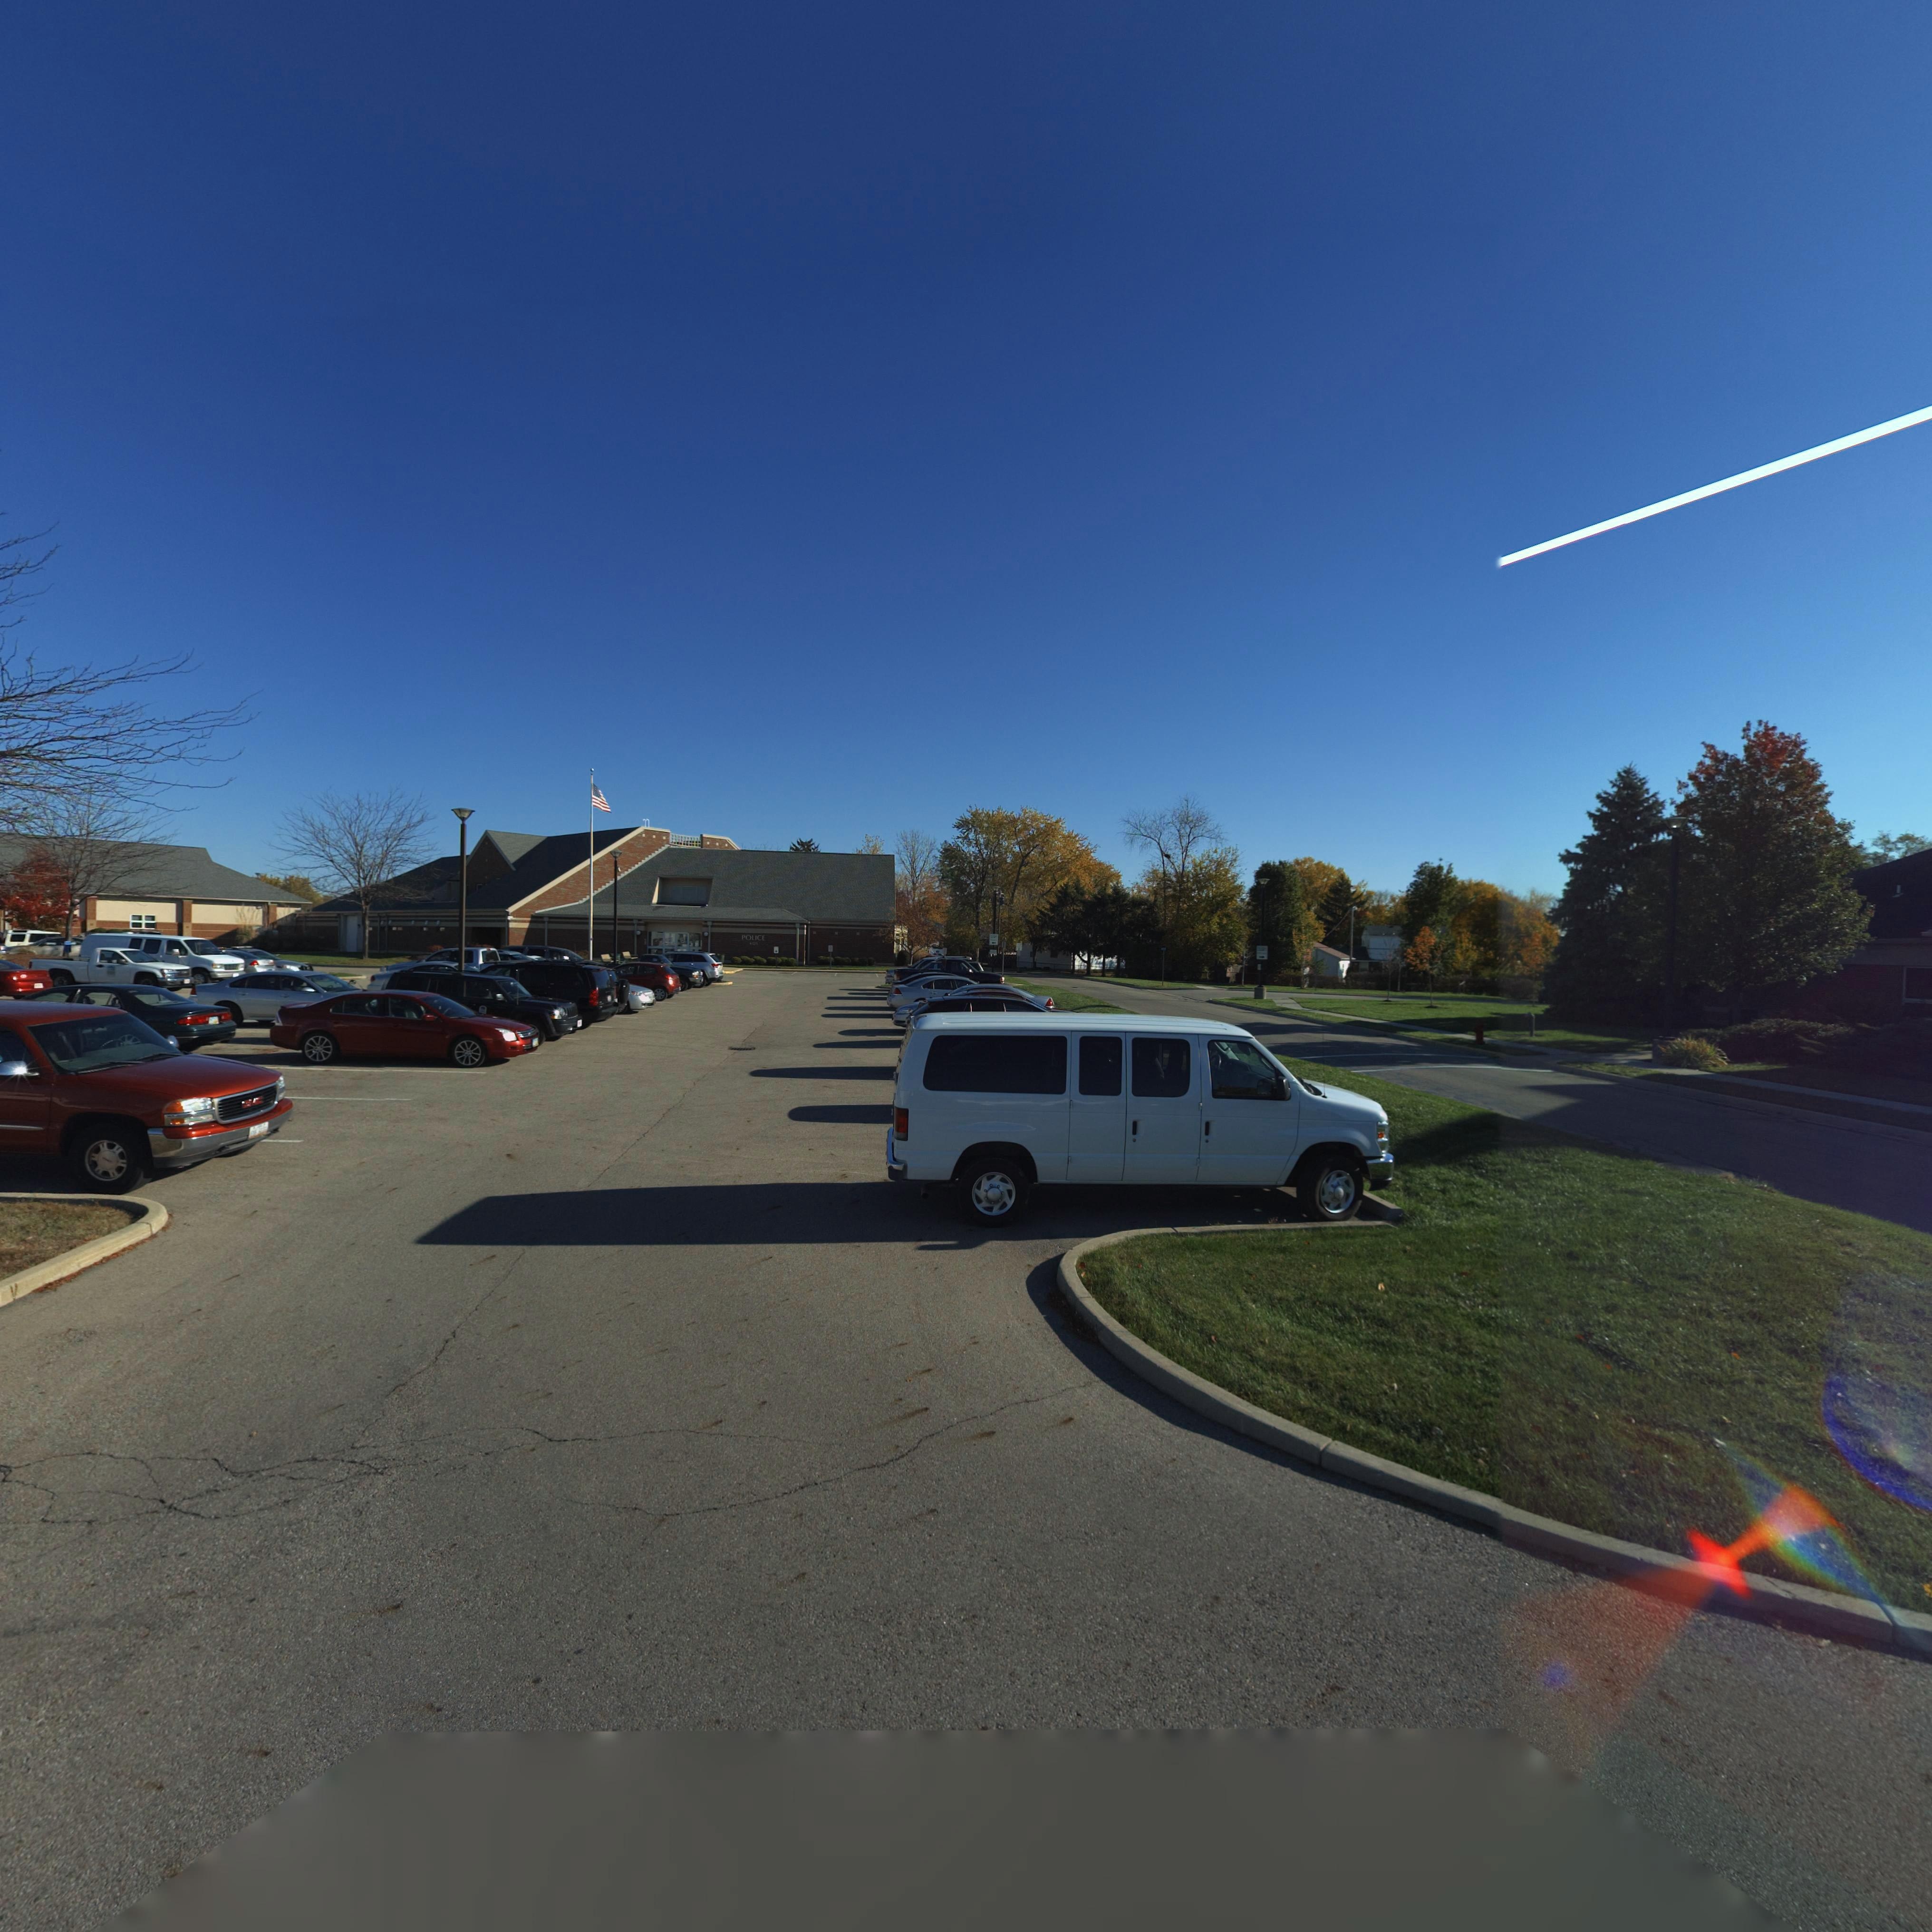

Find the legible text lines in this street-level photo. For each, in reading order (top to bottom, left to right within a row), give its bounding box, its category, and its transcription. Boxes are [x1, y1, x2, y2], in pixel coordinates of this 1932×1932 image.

[749, 942, 758, 946] StreetNumber: 6121